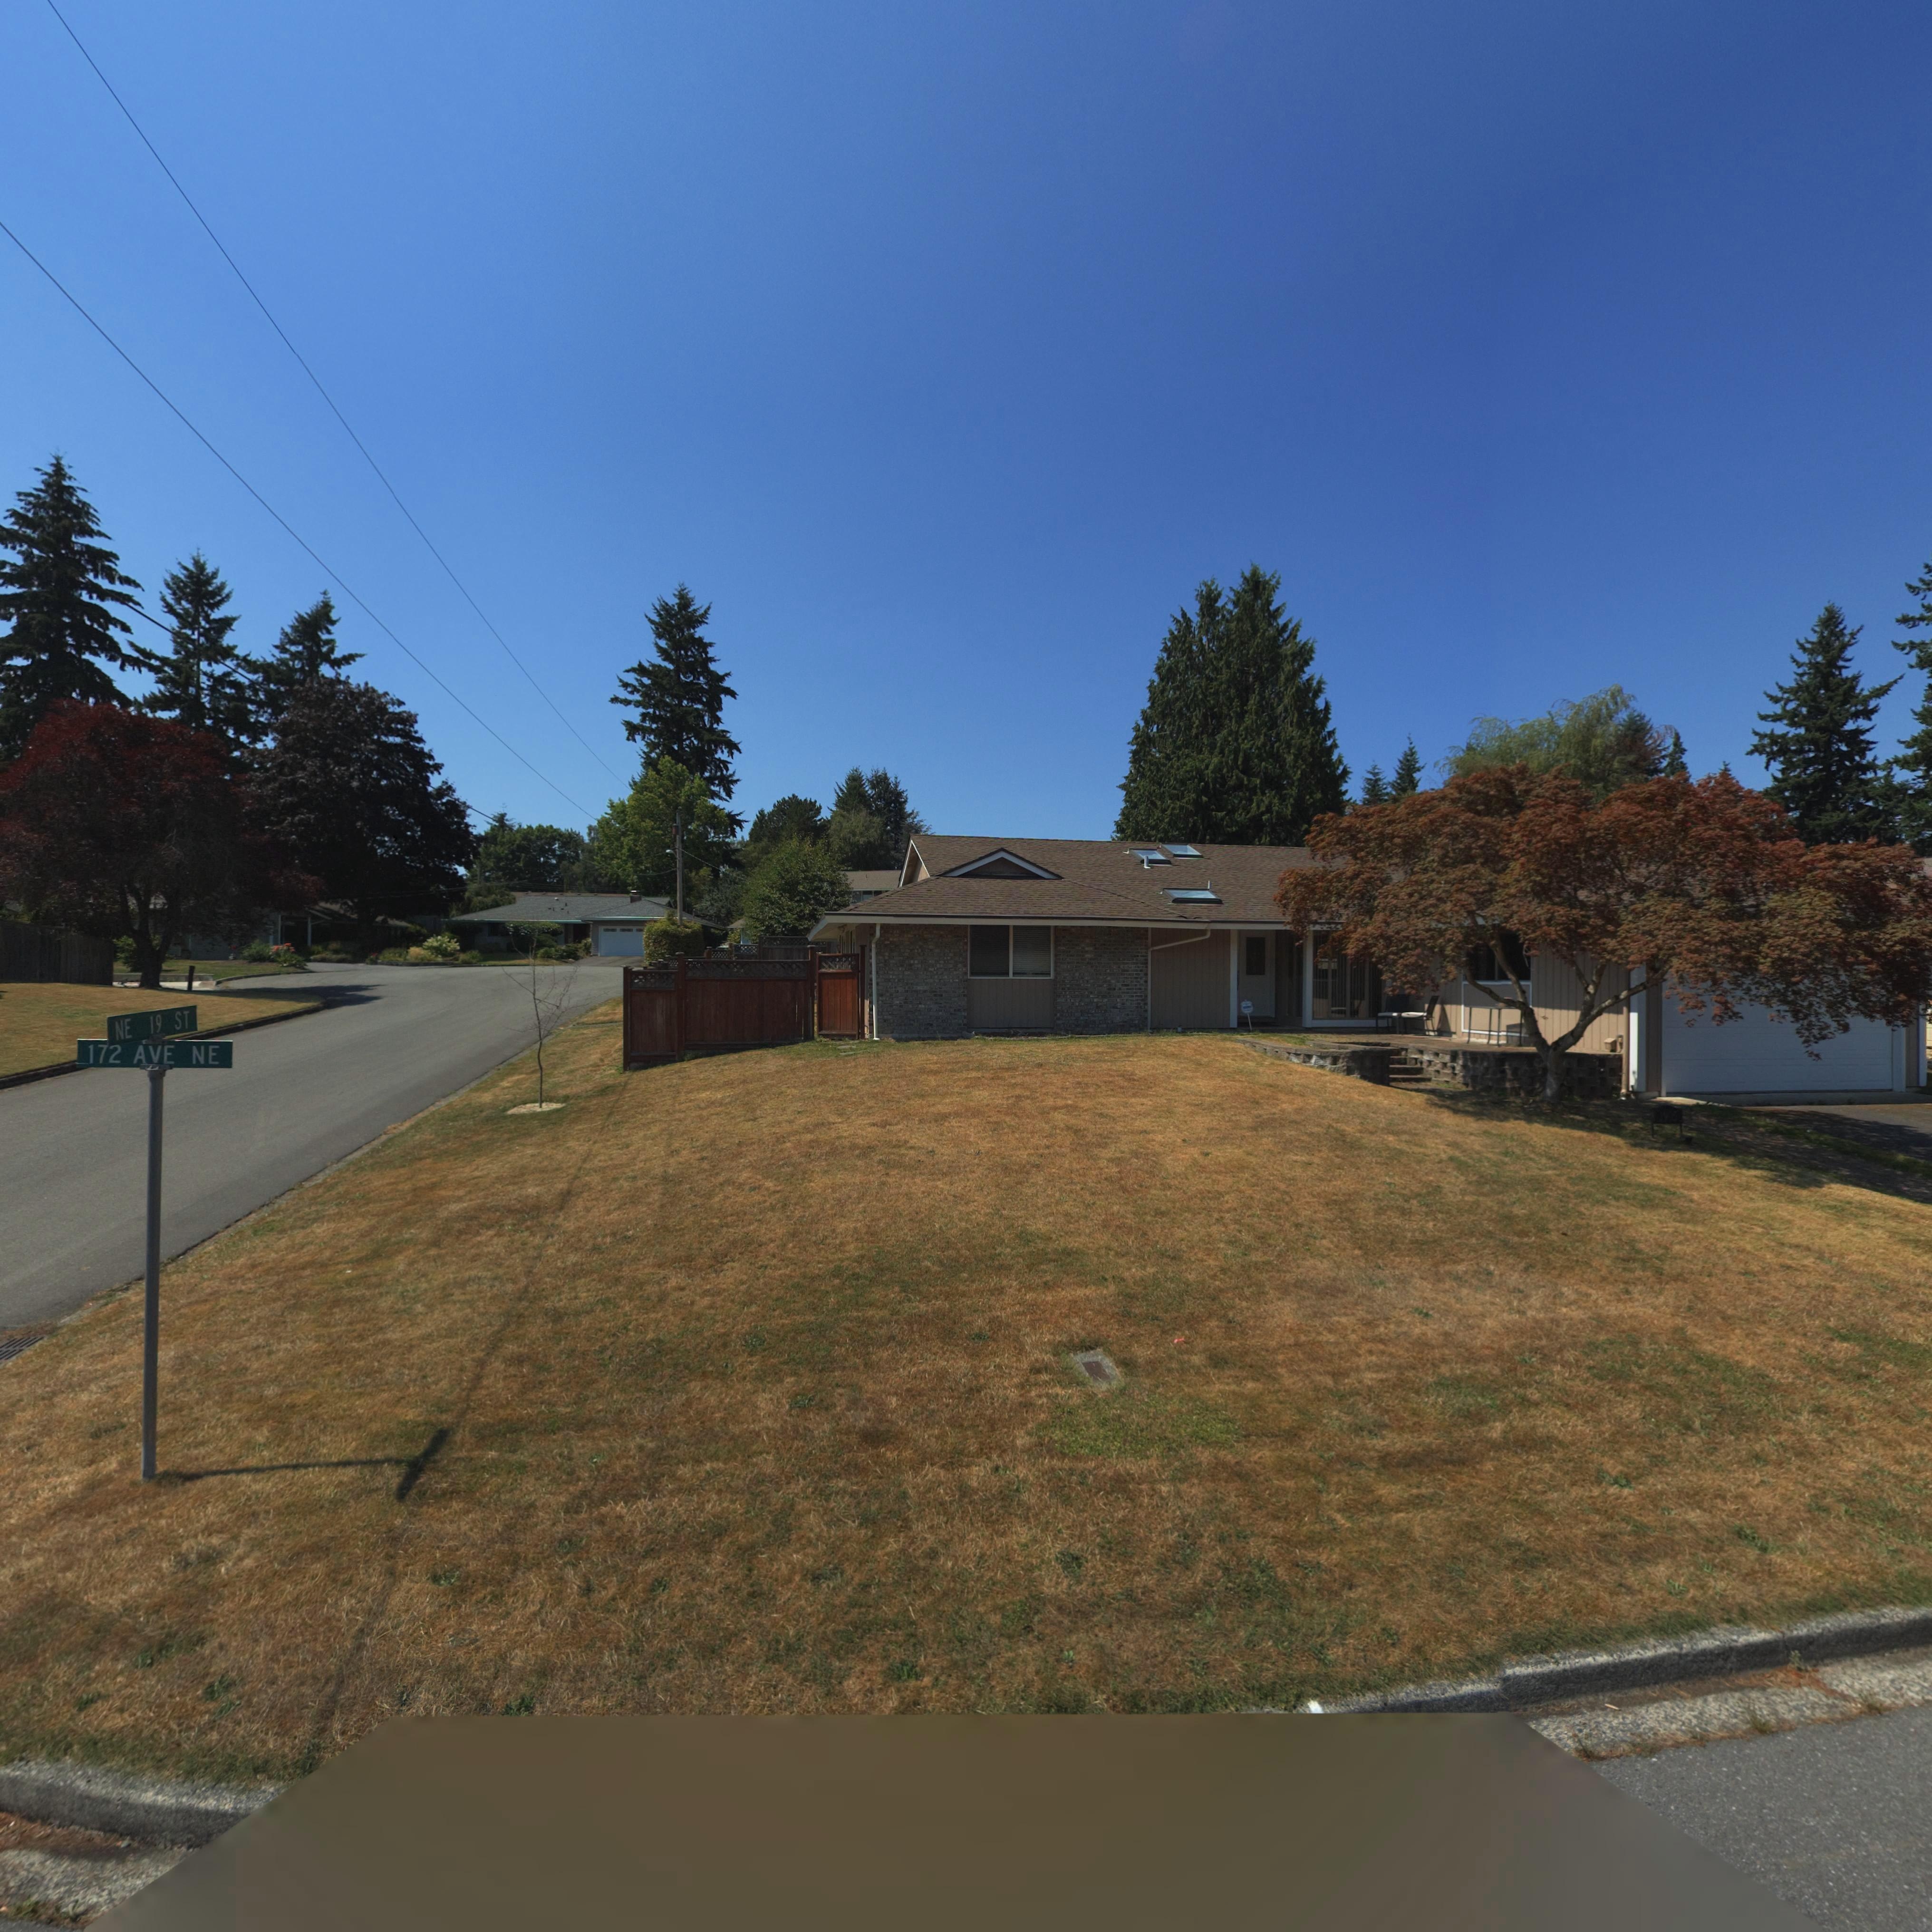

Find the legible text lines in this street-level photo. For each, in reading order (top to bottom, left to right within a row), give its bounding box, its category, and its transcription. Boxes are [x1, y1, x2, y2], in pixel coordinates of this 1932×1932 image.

[115, 1010, 191, 1040] StreetName: NE 19 ST
[89, 1043, 219, 1064] StreetName: 172 AVE NE